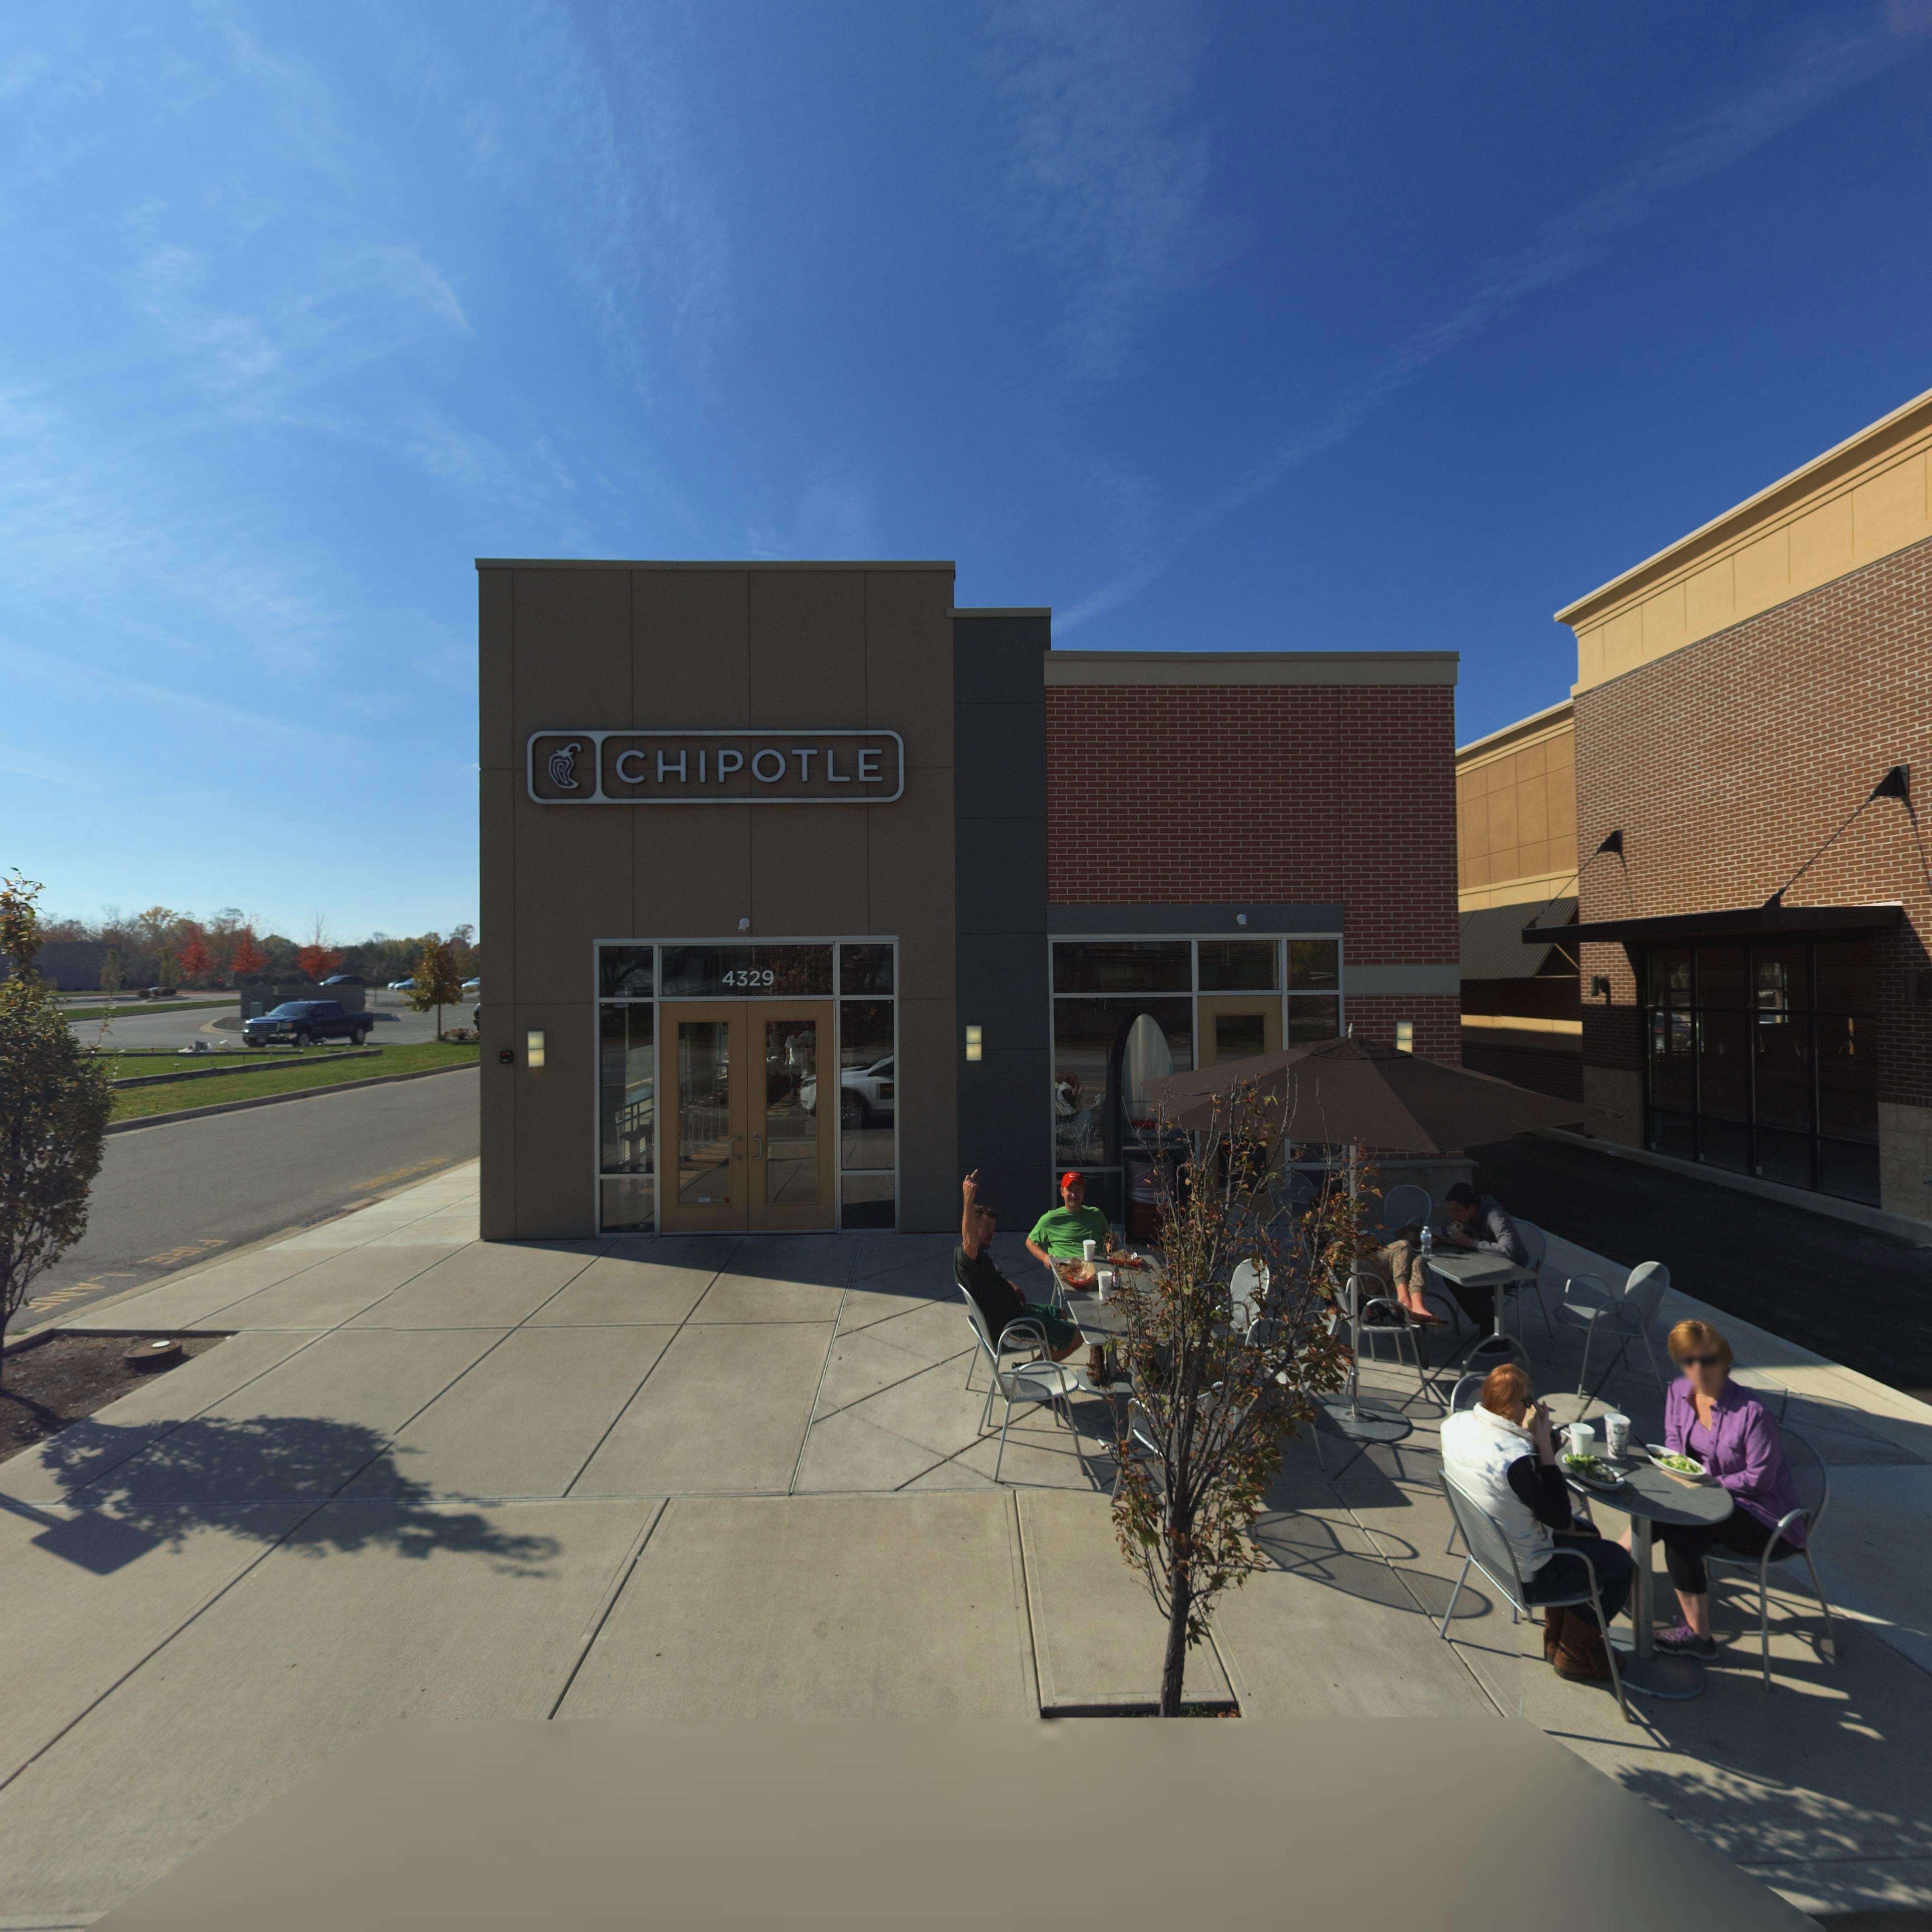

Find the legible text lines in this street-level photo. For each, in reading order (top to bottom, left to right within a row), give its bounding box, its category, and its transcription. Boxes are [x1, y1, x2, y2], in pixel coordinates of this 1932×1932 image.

[613, 746, 886, 786] BusinessName: CHIPOTLE
[721, 968, 775, 987] StreetNumber: 4329